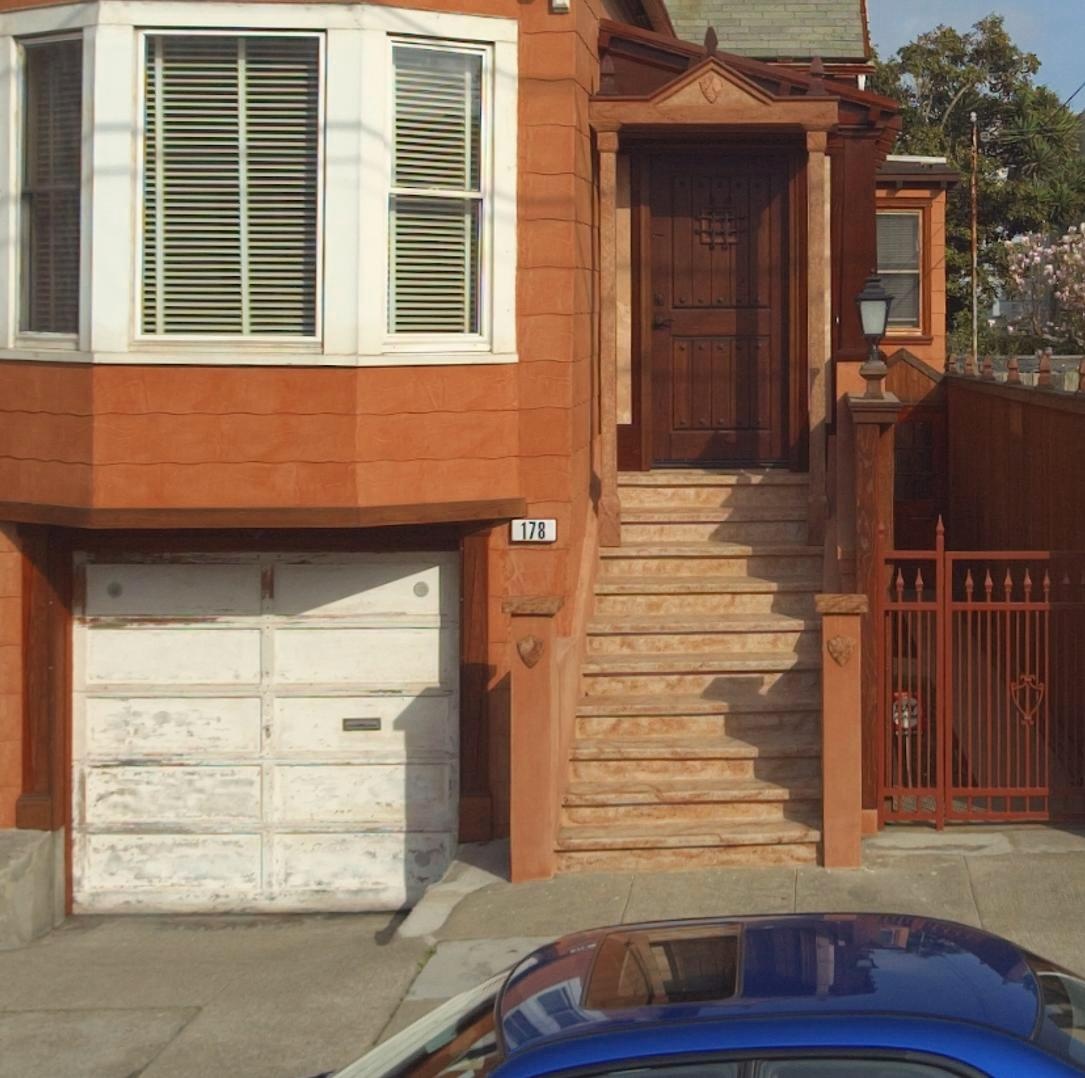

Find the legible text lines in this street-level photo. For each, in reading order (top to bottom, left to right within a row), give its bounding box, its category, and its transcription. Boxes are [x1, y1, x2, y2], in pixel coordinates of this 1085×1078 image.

[520, 520, 546, 540] StreetNumber: 178